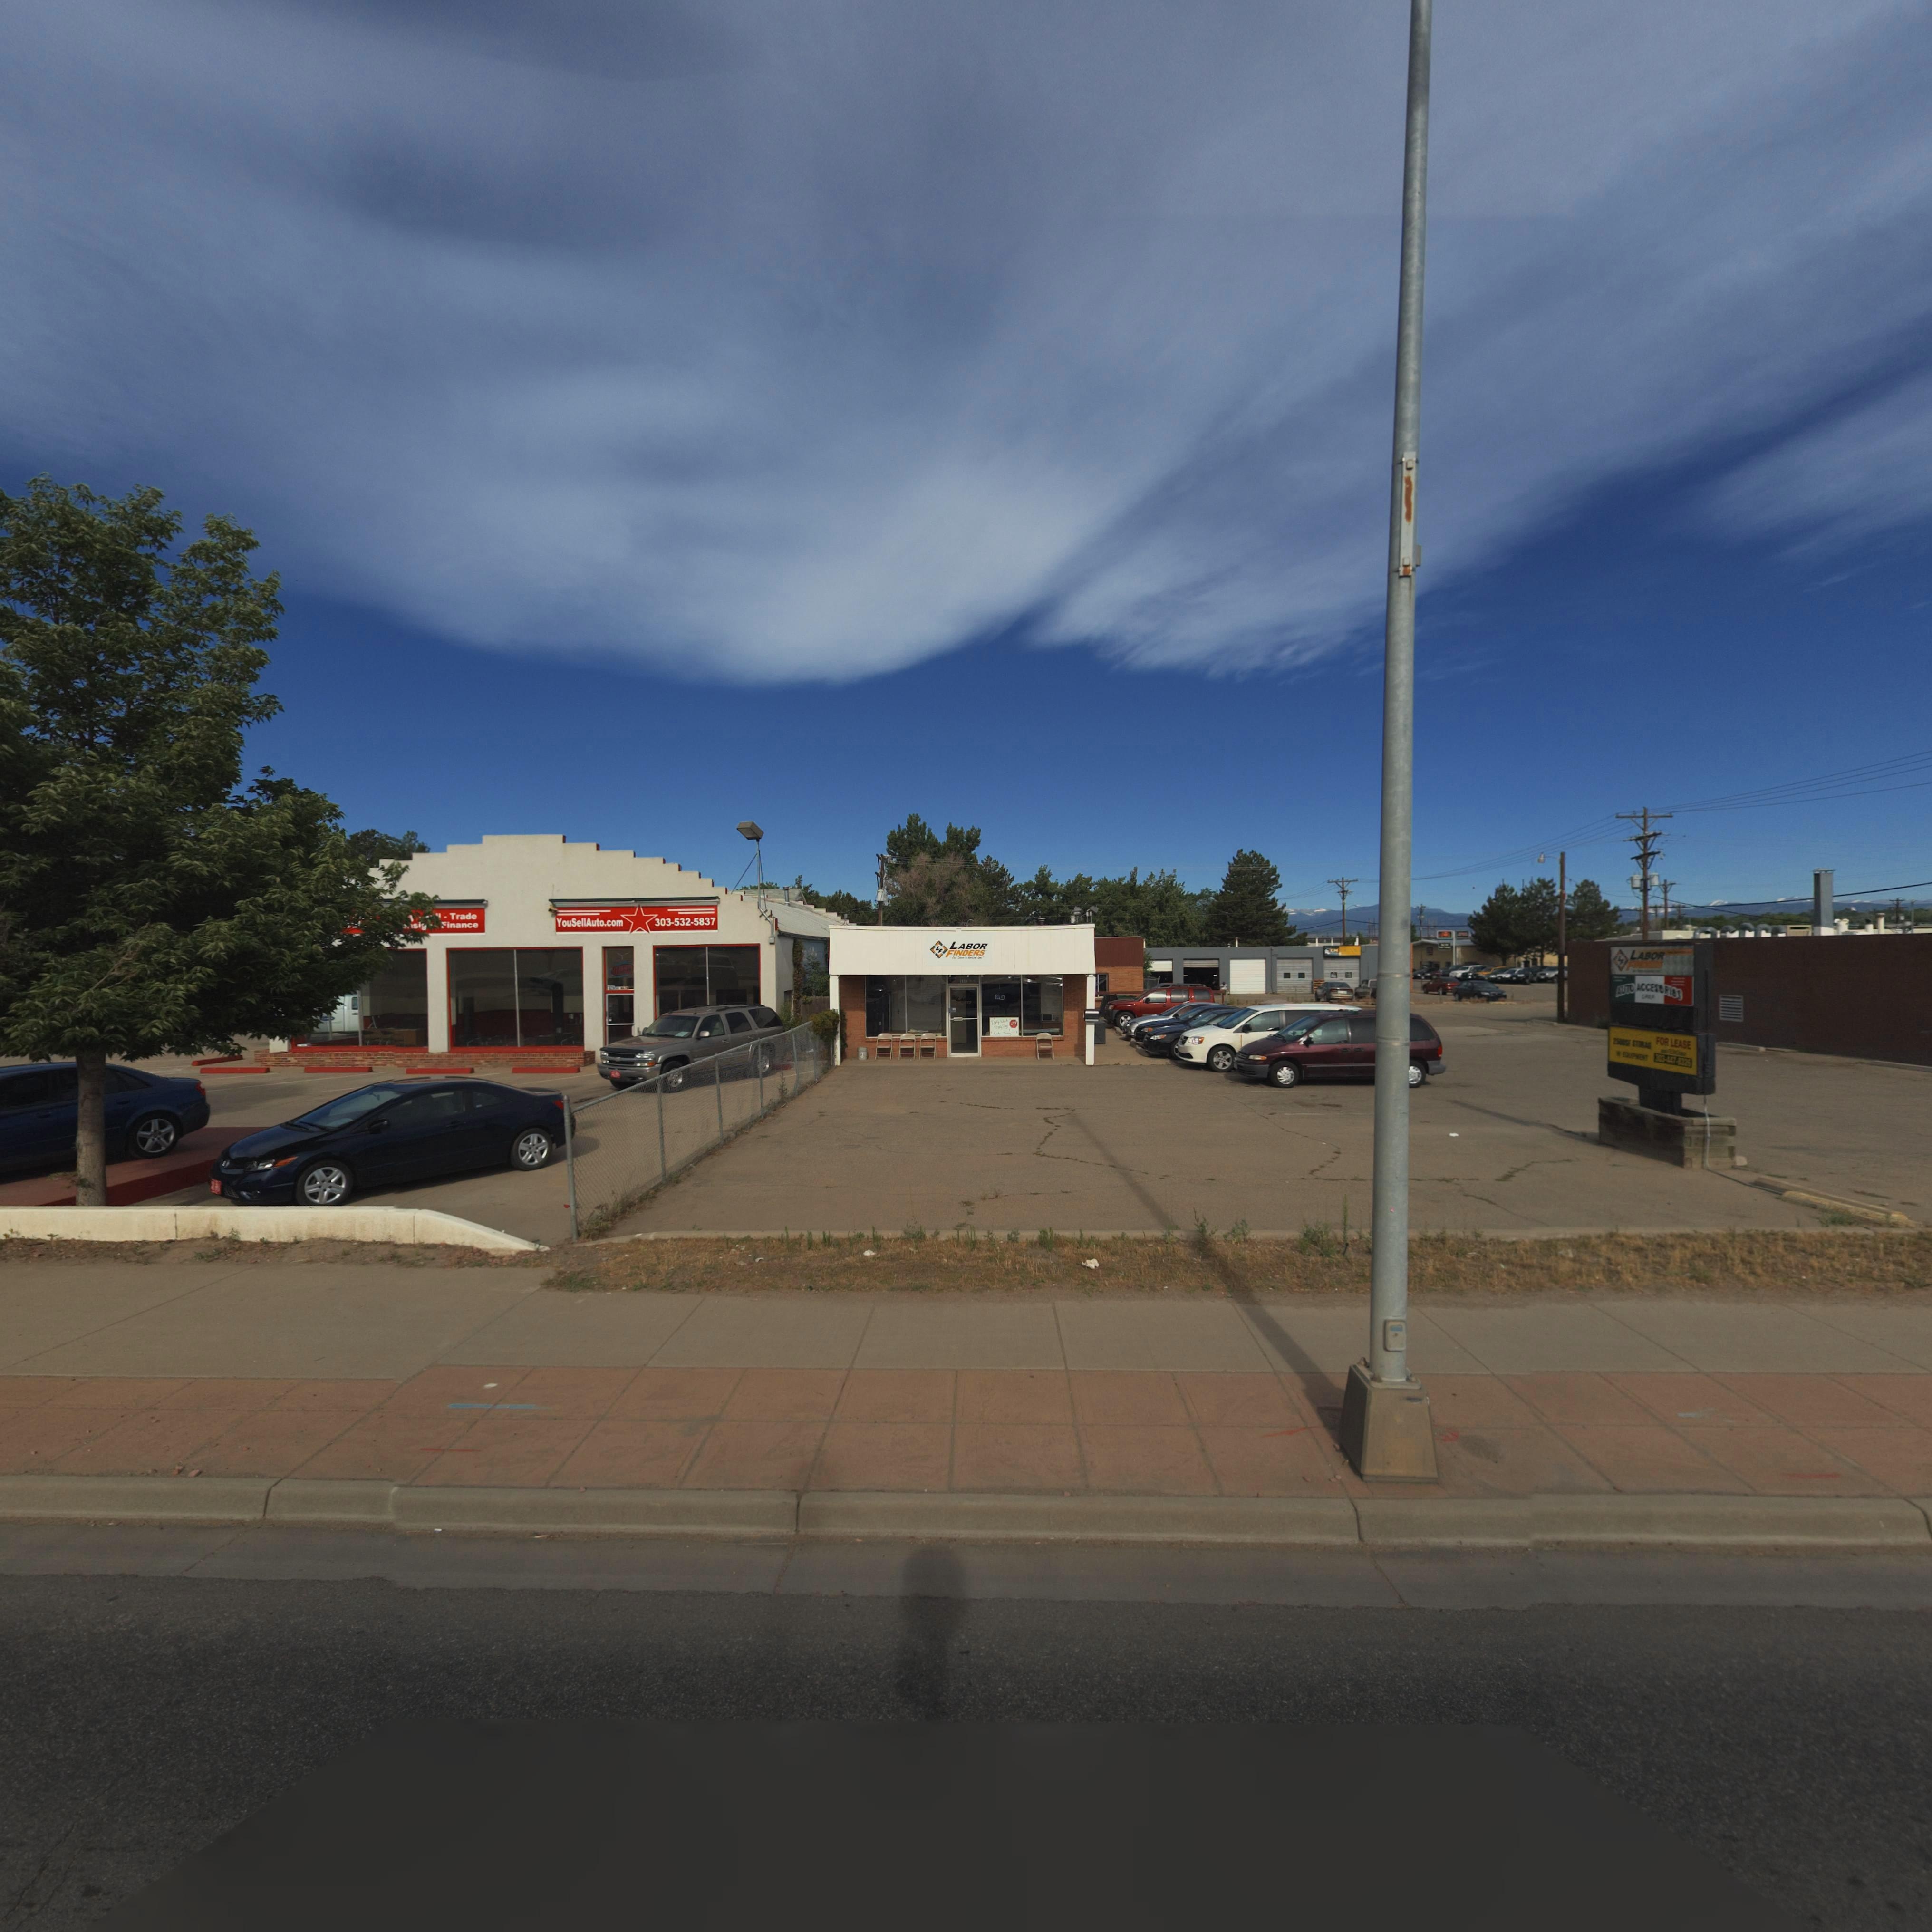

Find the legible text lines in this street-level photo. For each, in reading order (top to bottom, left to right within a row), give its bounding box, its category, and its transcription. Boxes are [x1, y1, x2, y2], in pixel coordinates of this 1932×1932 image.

[949, 941, 988, 949] BusinessName: LABOR
[945, 949, 986, 957] BusinessName: FINDERS
[1630, 949, 1665, 960] BusinessName: LABOR
[960, 979, 966, 983] StreetNumber: 111
[1616, 982, 1681, 1000] BusinessName: AUTO ACCESORIOS